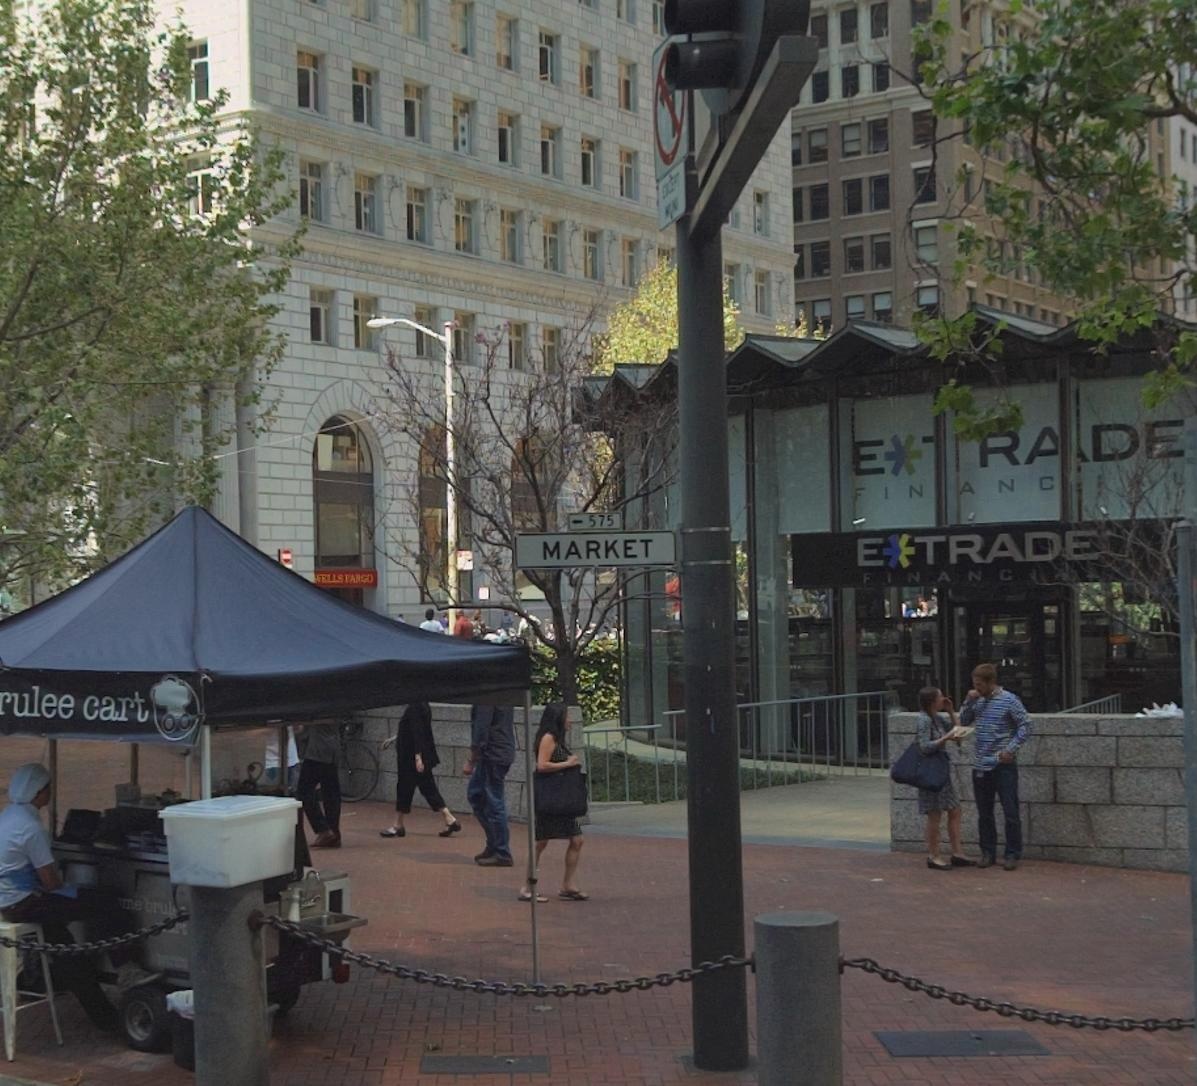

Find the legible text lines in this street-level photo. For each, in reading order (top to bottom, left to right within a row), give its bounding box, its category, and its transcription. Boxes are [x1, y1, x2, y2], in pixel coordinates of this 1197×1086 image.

[851, 416, 1188, 479] BusinessName: E**RADE
[853, 473, 1057, 503] BusinessName: FINANC
[566, 511, 616, 529] StreetNumberRange: <-575
[542, 536, 655, 561] StreetName: MARKET
[855, 527, 1103, 570] BusinessName: E*TRADE
[313, 572, 374, 584] BusinessName: WELLS FARGO
[861, 567, 1038, 587] BusinessName: FINANCI
[10, 685, 149, 723] BusinessName: ulee cart